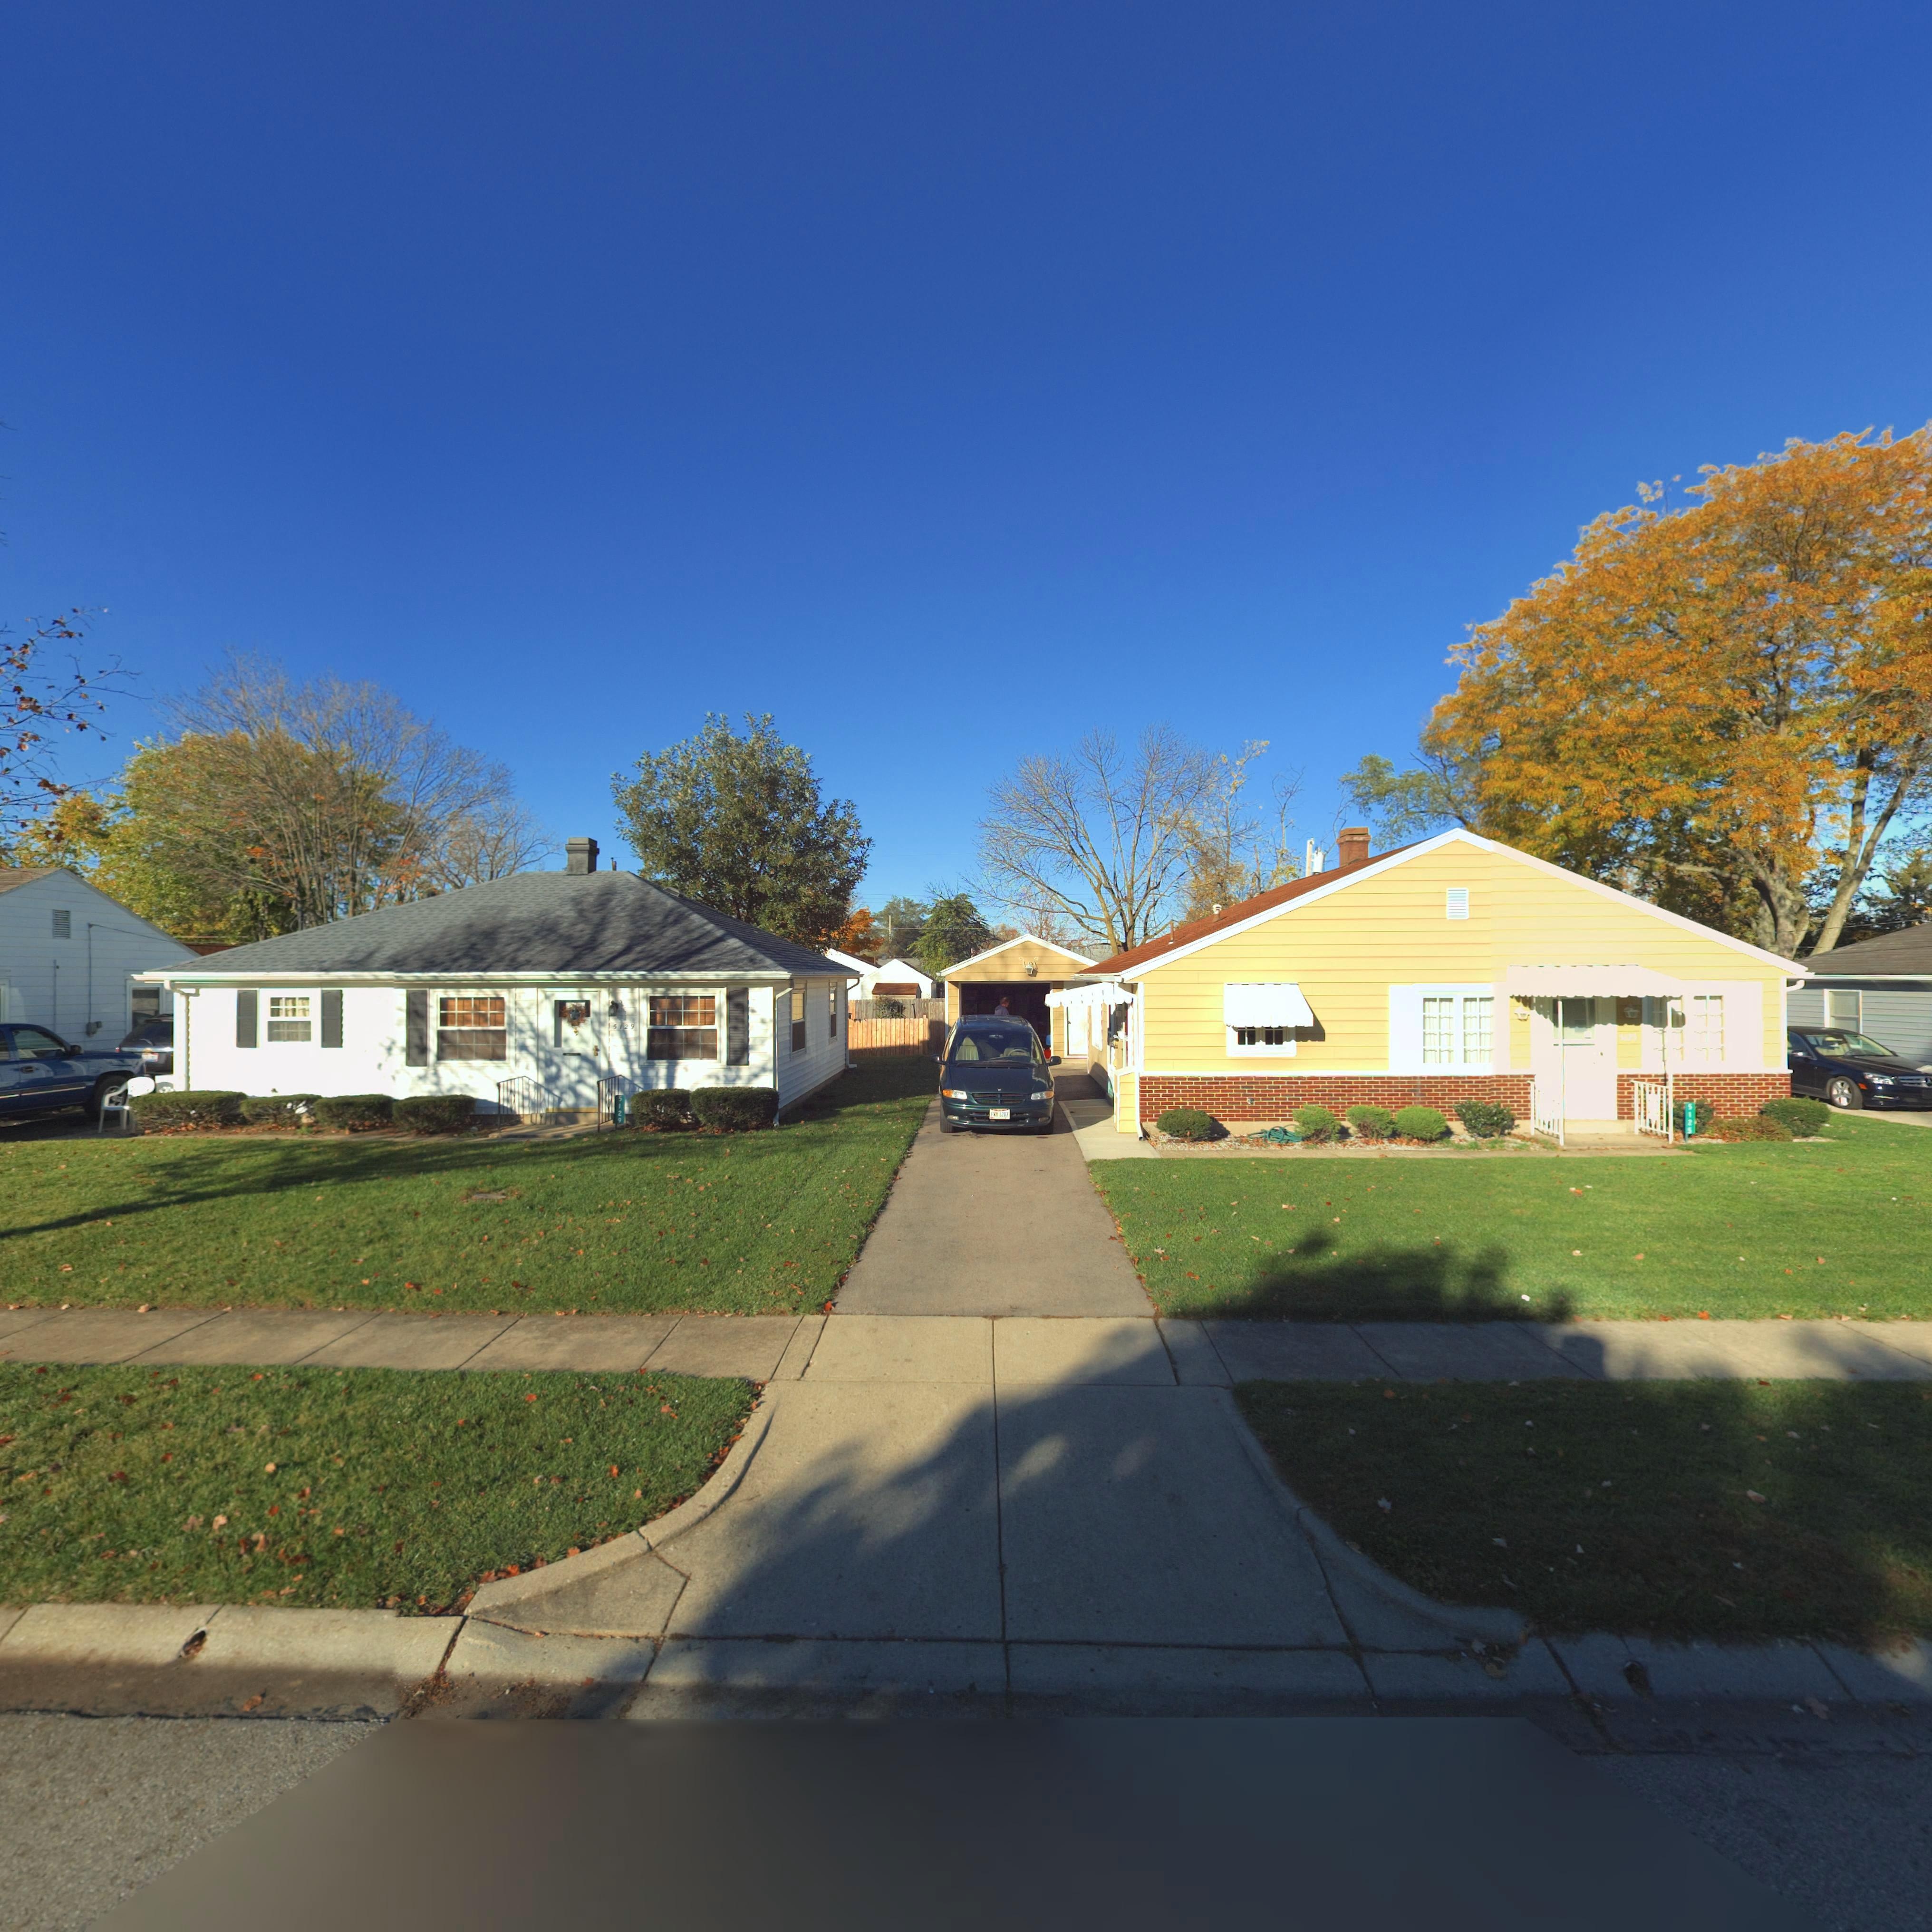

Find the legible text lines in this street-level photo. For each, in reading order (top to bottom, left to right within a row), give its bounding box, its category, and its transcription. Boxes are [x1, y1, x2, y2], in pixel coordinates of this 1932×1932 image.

[612, 1024, 635, 1030] StreetNumber: 5129
[617, 1095, 623, 1123] StreetNumber: 5129
[1687, 1103, 1693, 1134] StreetNumber: 5125